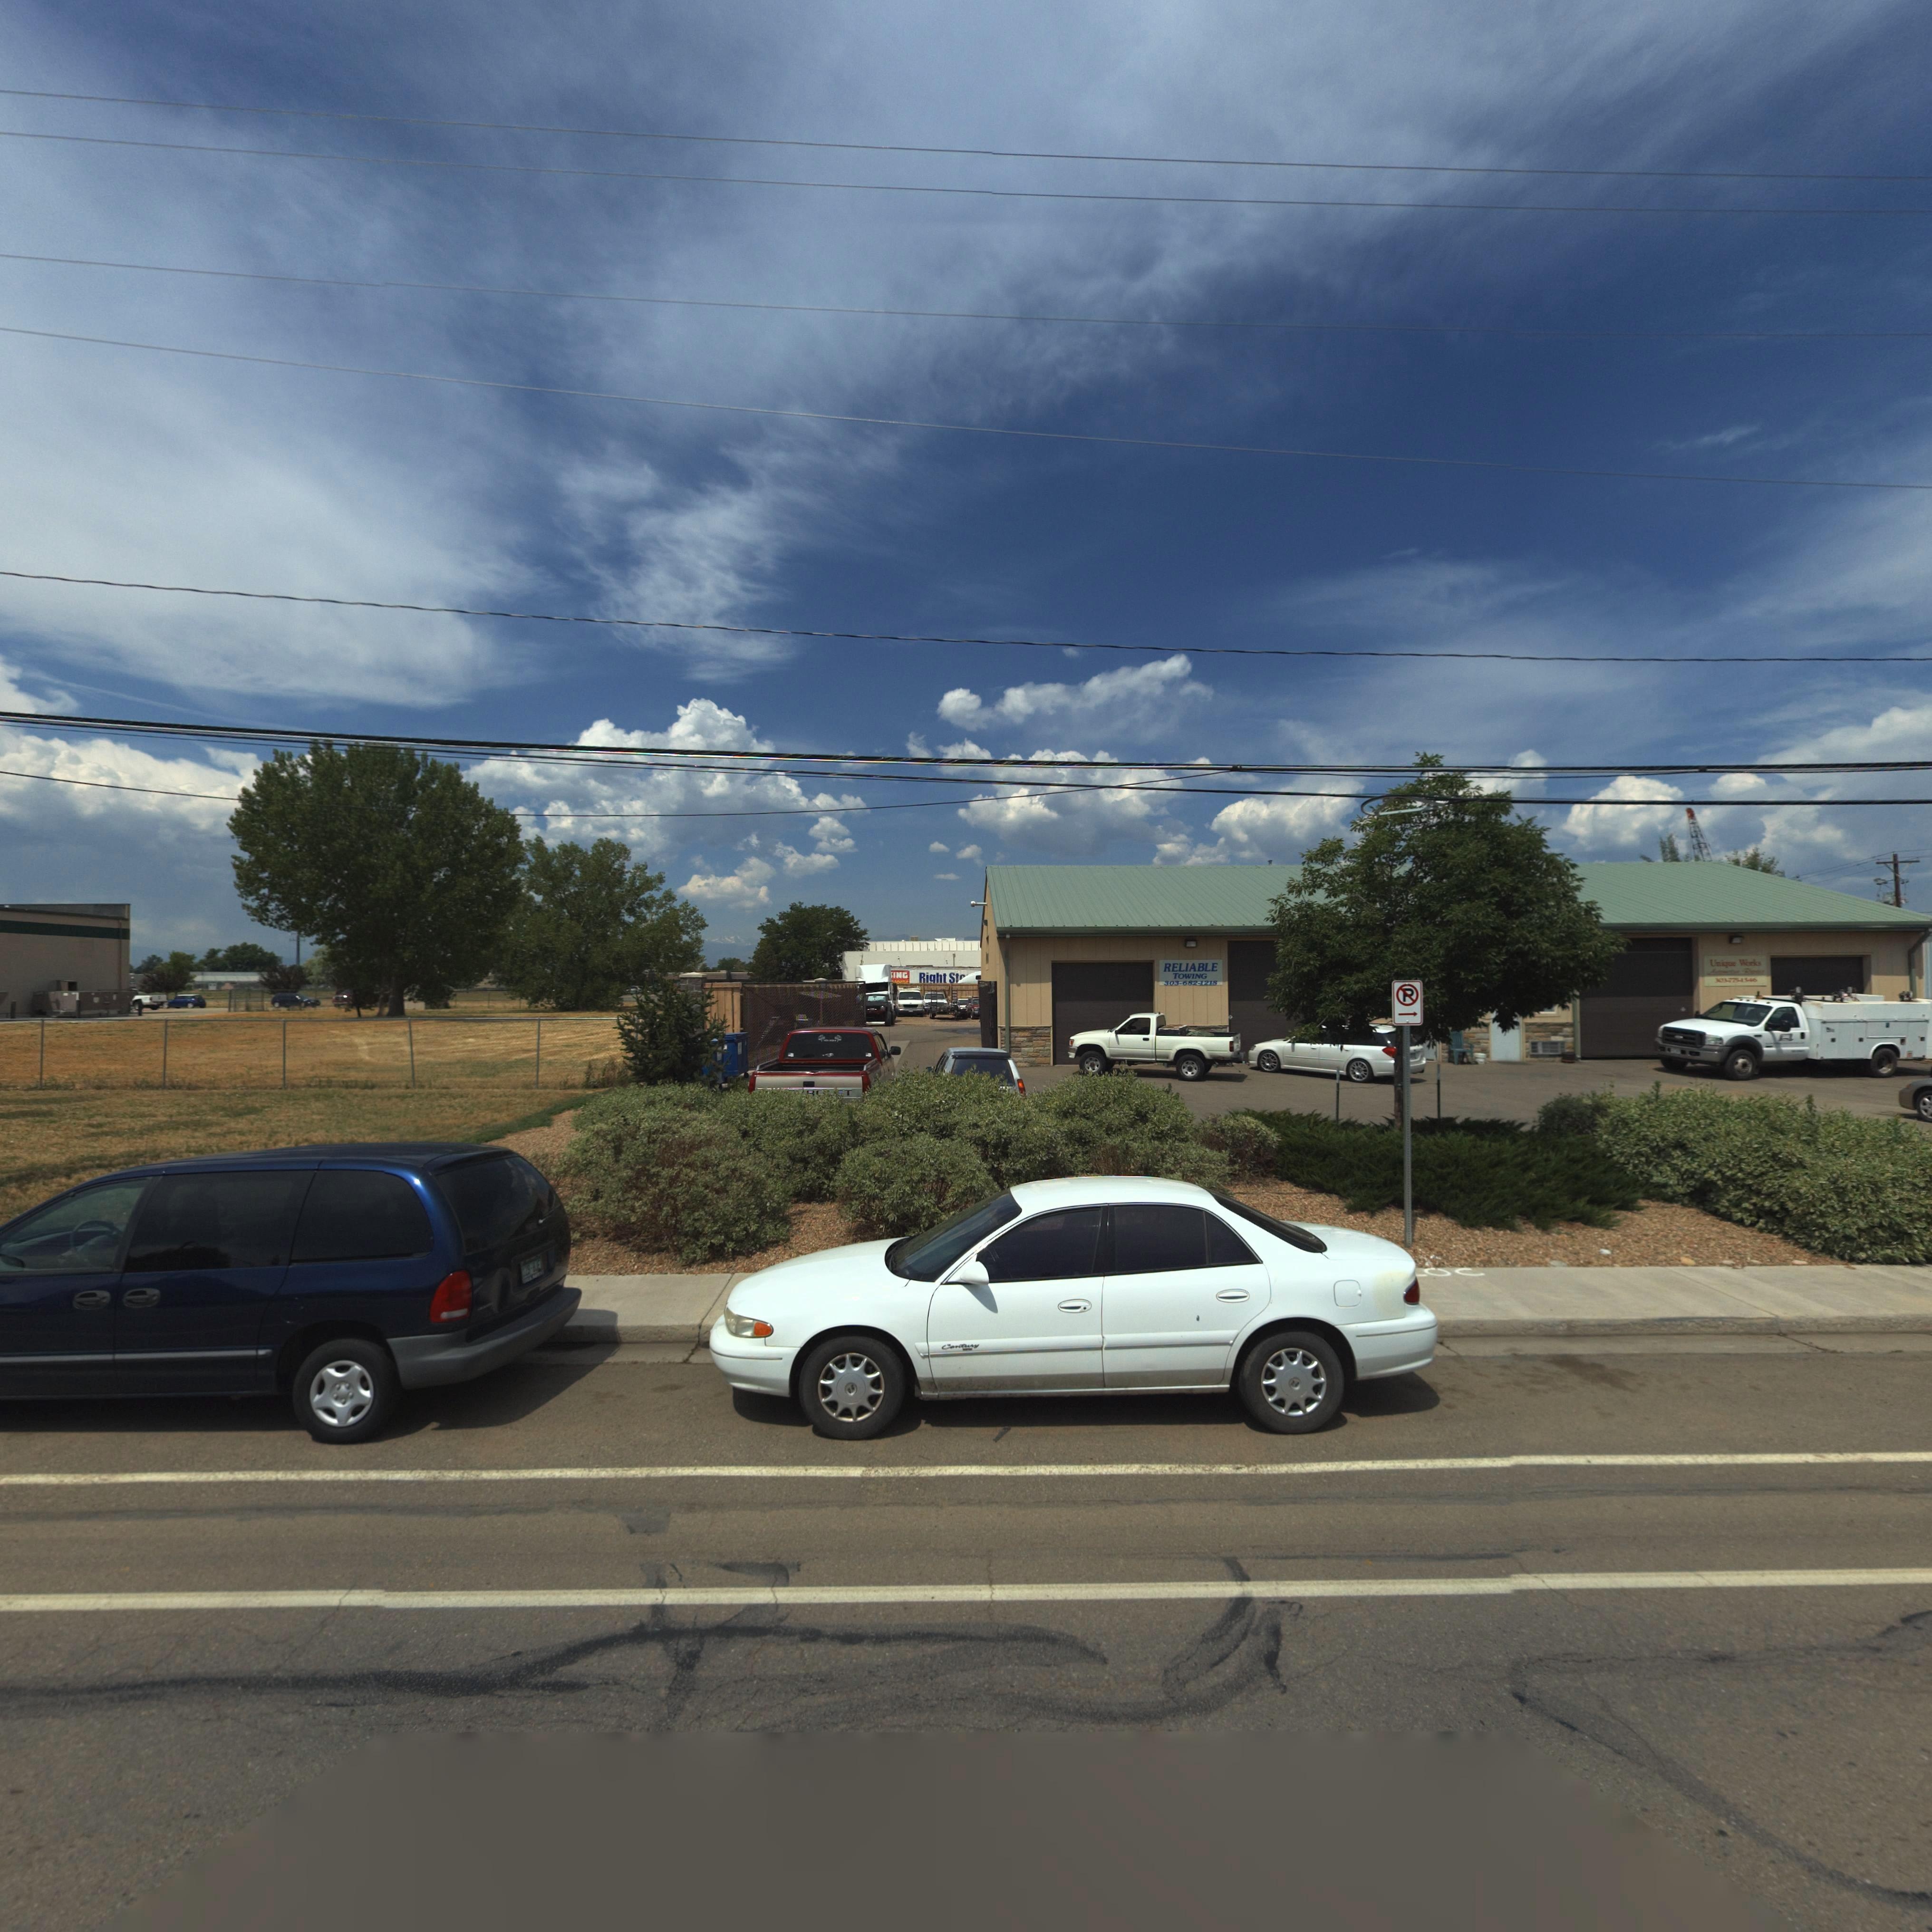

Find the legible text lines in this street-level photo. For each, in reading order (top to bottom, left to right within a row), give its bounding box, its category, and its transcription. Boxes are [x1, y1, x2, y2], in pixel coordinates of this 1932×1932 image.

[1163, 963, 1218, 972] BusinessName: RELIABLE
[1710, 958, 1761, 968] BusinessName: Unique Works
[1707, 967, 1765, 975] BusinessName: A********* R*****
[1172, 973, 1207, 979] BusinessName: TOWING